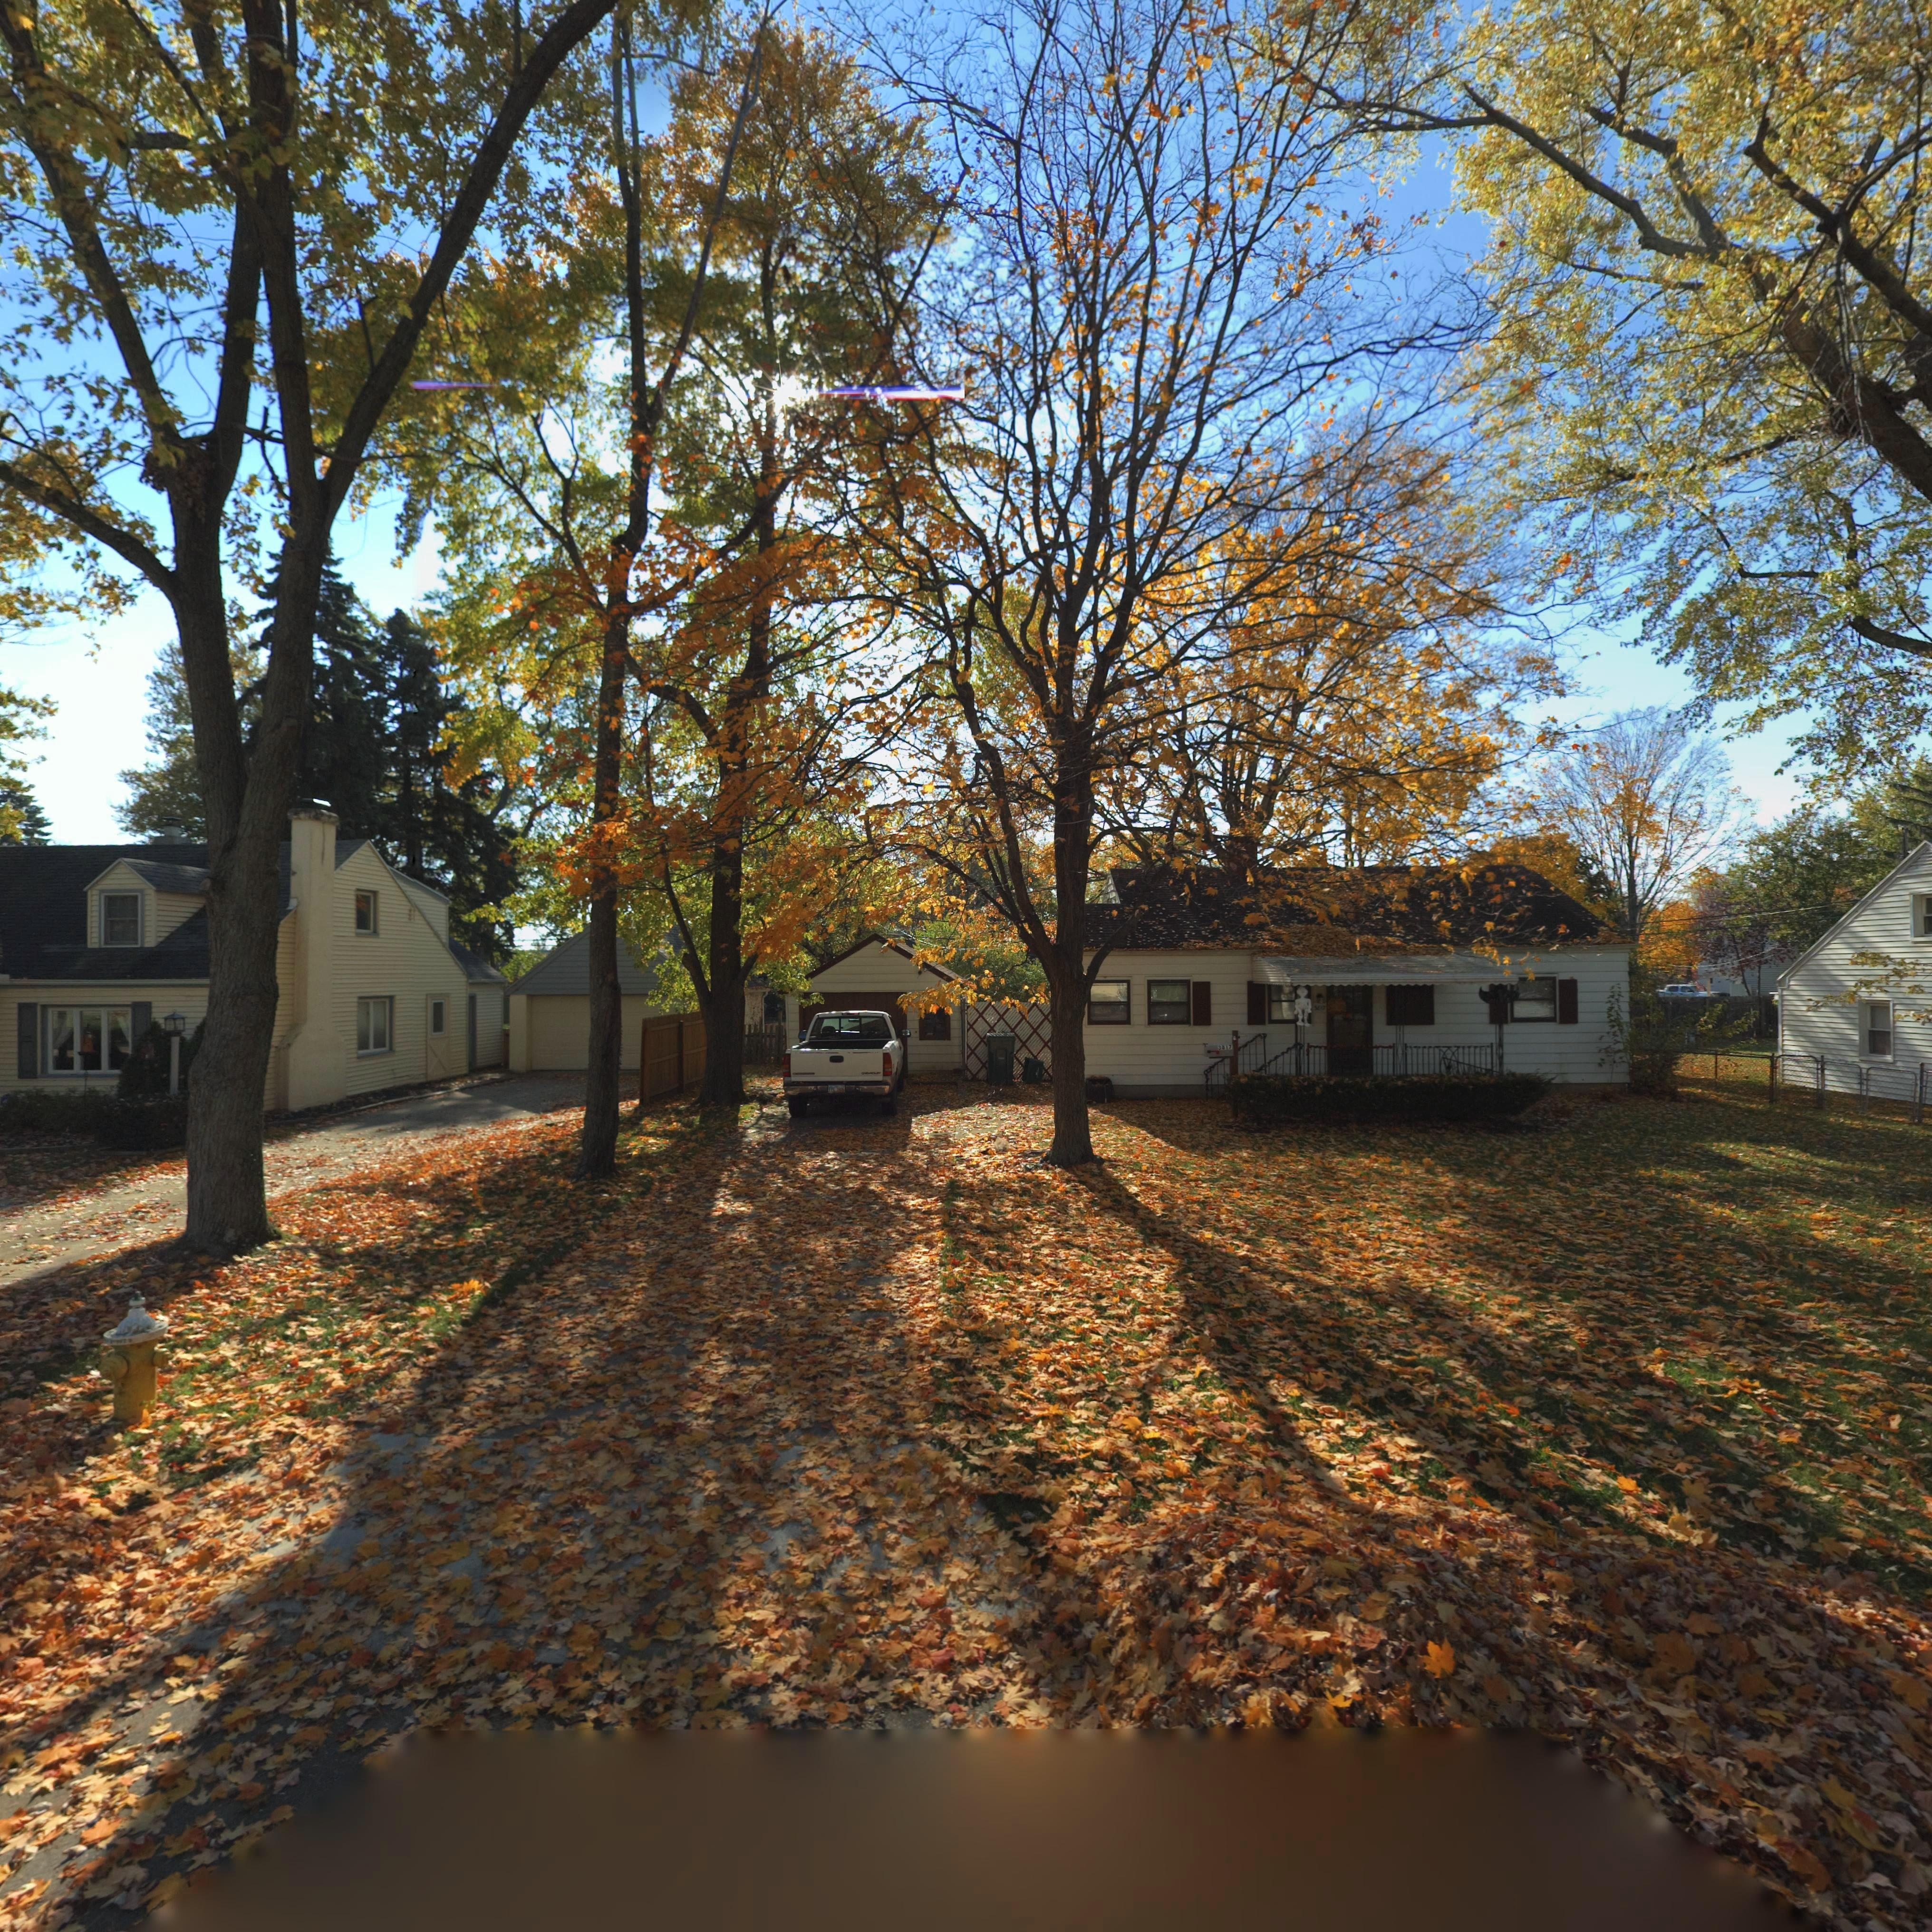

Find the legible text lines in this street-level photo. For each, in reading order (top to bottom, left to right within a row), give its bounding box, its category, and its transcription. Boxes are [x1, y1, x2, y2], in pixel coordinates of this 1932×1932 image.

[1217, 1044, 1232, 1051] StreetNumber: 3817